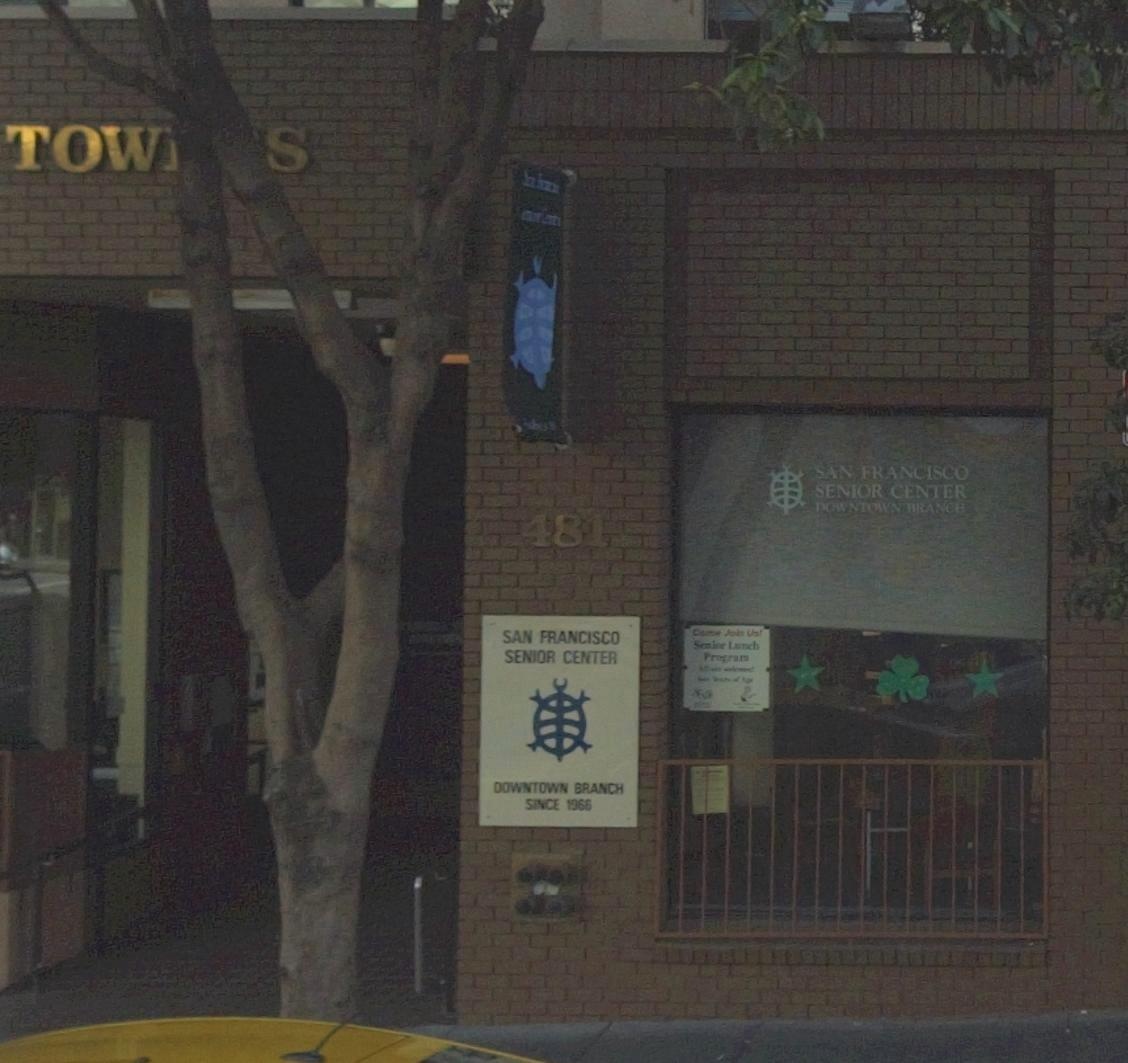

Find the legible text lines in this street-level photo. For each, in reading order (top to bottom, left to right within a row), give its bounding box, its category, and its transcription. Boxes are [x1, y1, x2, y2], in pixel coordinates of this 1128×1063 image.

[1, 119, 317, 182] BusinessName: TOW*S
[811, 461, 973, 483] BusinessName: SAN FRANCISCO
[810, 480, 971, 502] BusinessName: SENIOR CENTER
[813, 498, 970, 517] BusinessName: DOWNTOWN BRANCH
[518, 509, 611, 551] StreetNumber: 481
[499, 625, 625, 649] BusinessName: SAN FRANCISCO
[688, 624, 766, 641] None: C*** Join Us!
[689, 638, 765, 654] None: Senior Lunch
[500, 646, 621, 670] BusinessName: SENIOR CENTER
[700, 648, 754, 667] None: Program
[490, 778, 628, 798] None: DOWNTOWN BRANCH
[521, 793, 597, 815] None: SINCE 1966